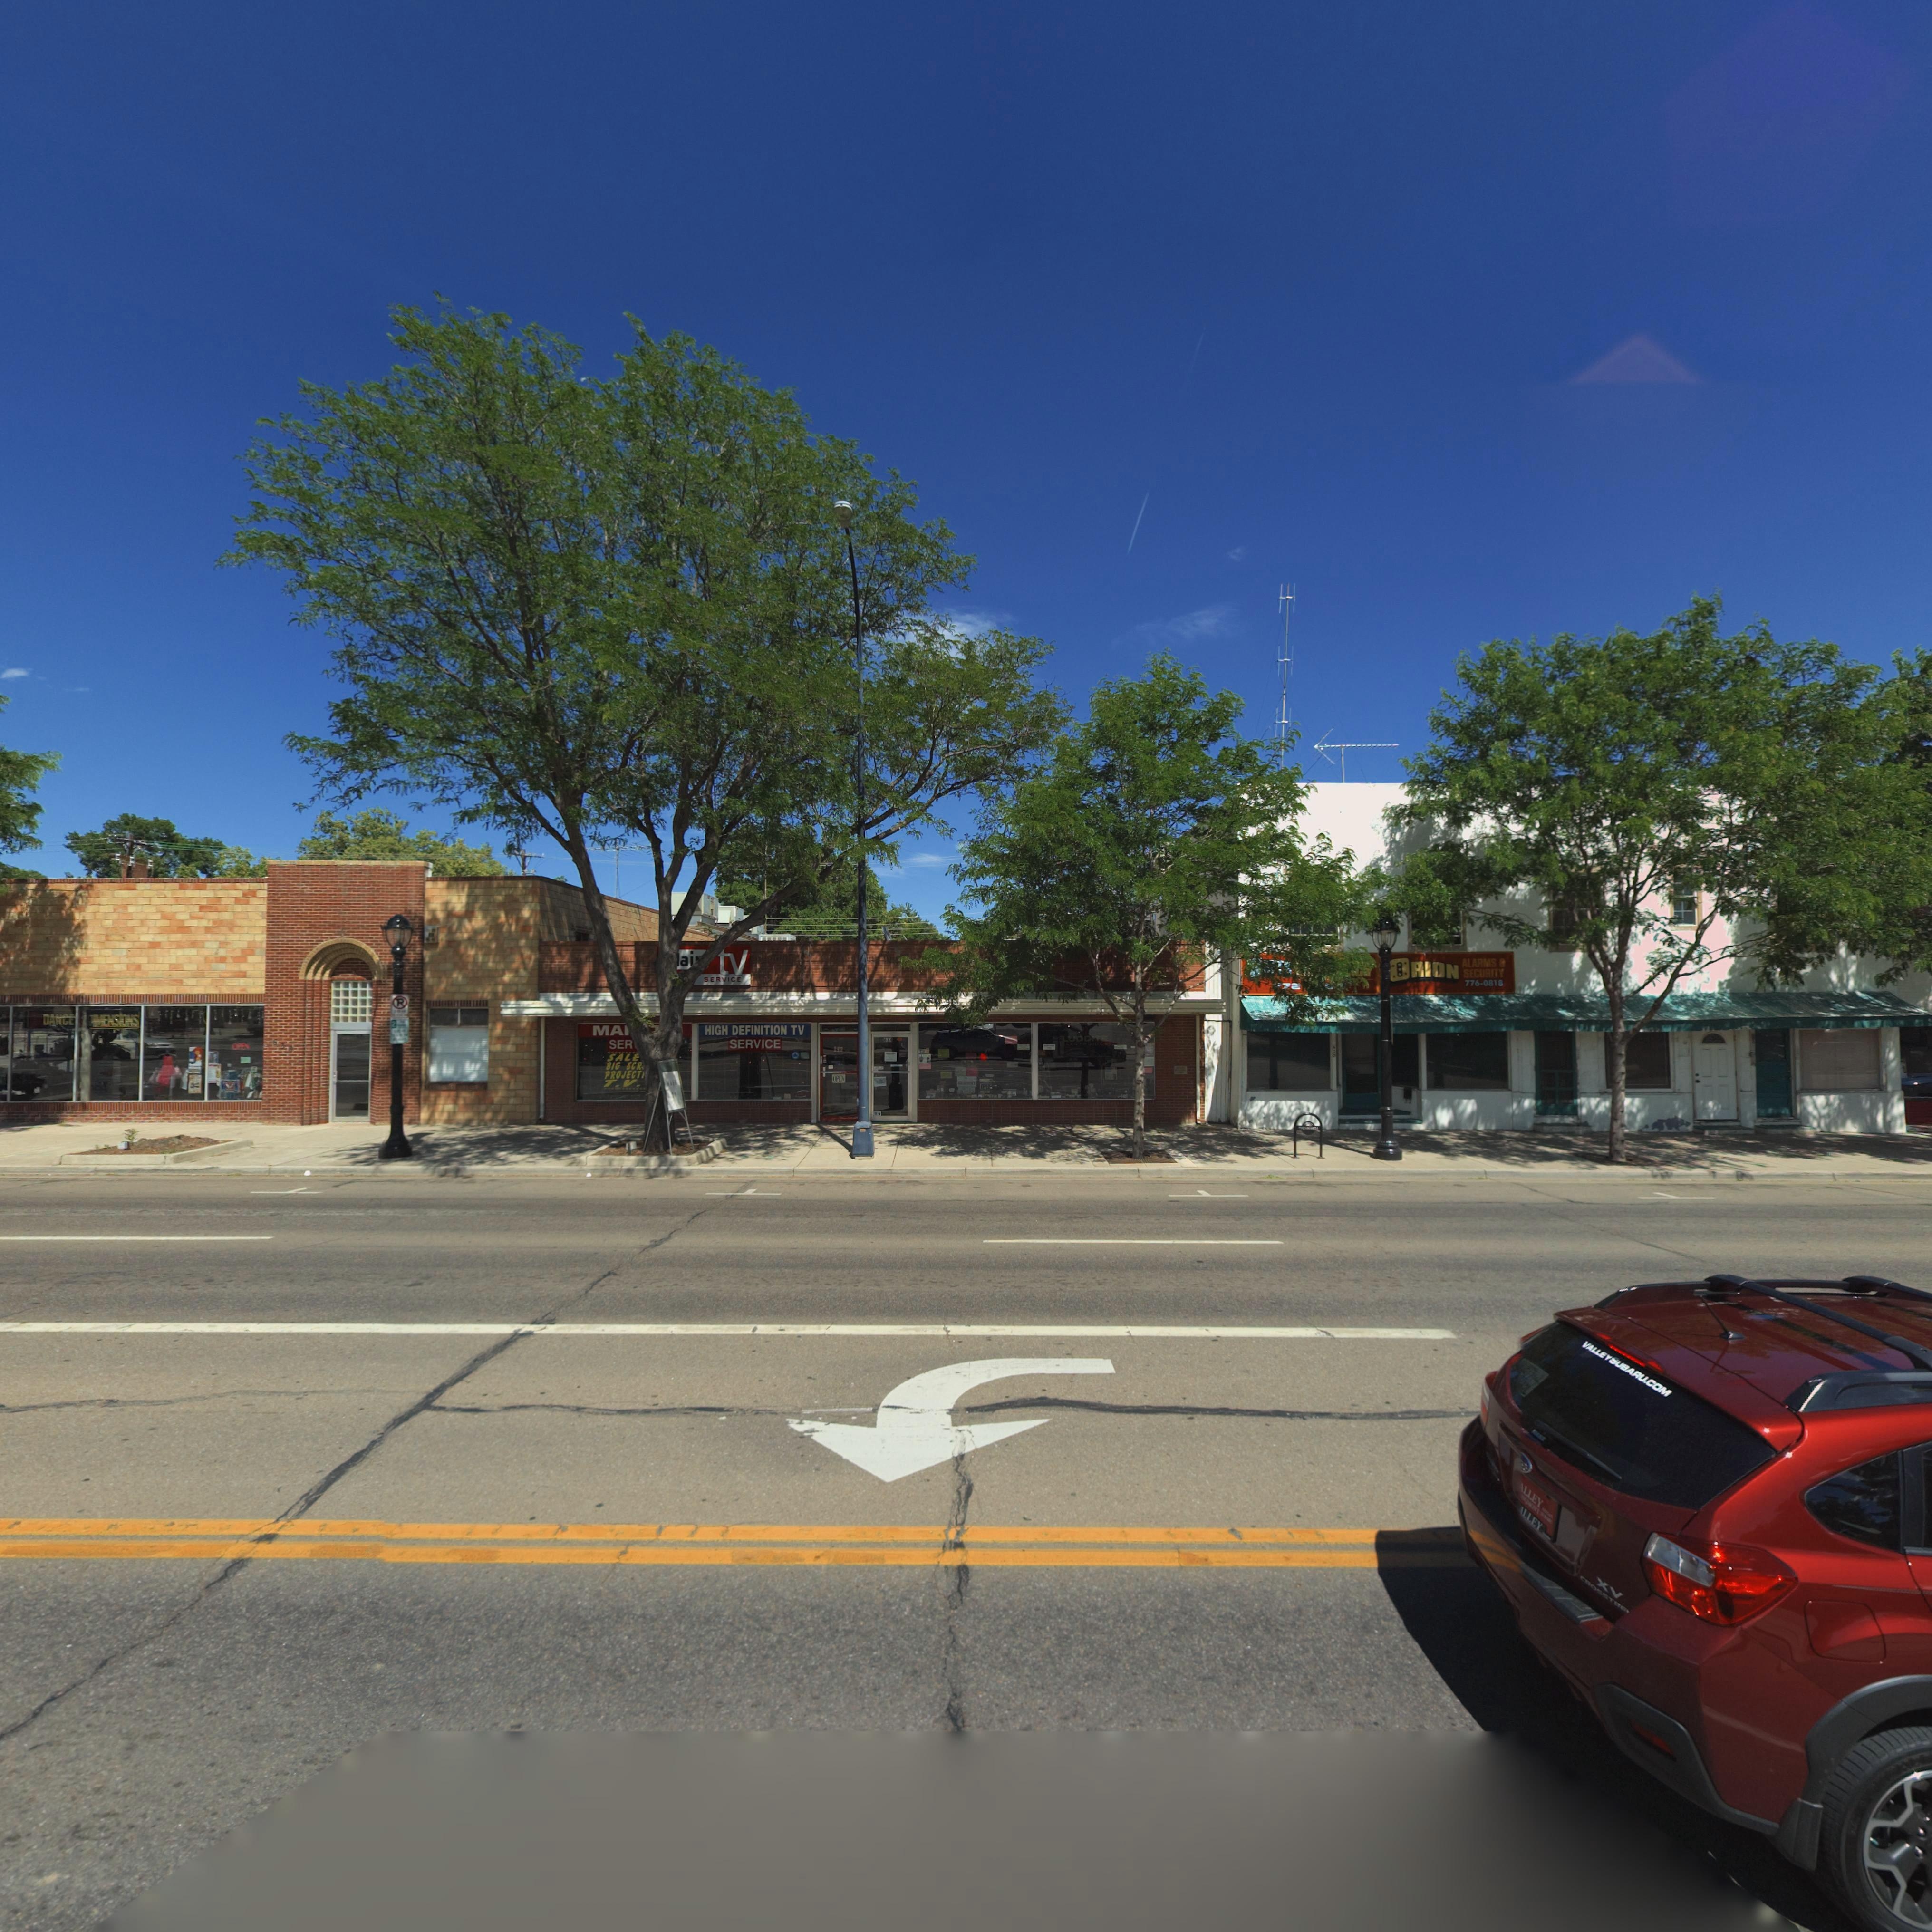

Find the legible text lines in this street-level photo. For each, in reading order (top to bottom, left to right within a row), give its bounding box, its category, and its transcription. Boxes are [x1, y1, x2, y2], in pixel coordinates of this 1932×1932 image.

[676, 950, 701, 966] BusinessName: *ai*
[717, 947, 748, 976] BusinessName: *v
[1462, 957, 1497, 967] BusinessName: ALARMS
[1388, 957, 1459, 982] BusinessName: *RION
[1463, 968, 1504, 978] BusinessName: SECURITY
[42, 1014, 74, 1026] BusinessName: DA***
[87, 1014, 139, 1027] BusinessName: ***E**IONS
[592, 1024, 629, 1036] BusinessName: MA*
[272, 1039, 292, 1052] StreetNumber: 638
[609, 1039, 633, 1049] BusinessName: SER
[833, 1046, 843, 1052] StreetNumber: *3*
[883, 1037, 892, 1042] StreetNumber: 634
[1061, 1042, 1108, 1046] BusinessName: ****T*O**C*
[1062, 1035, 1108, 1042] BusinessName: LUDDITE
[1332, 1045, 1335, 1057] StreetNumber: *30